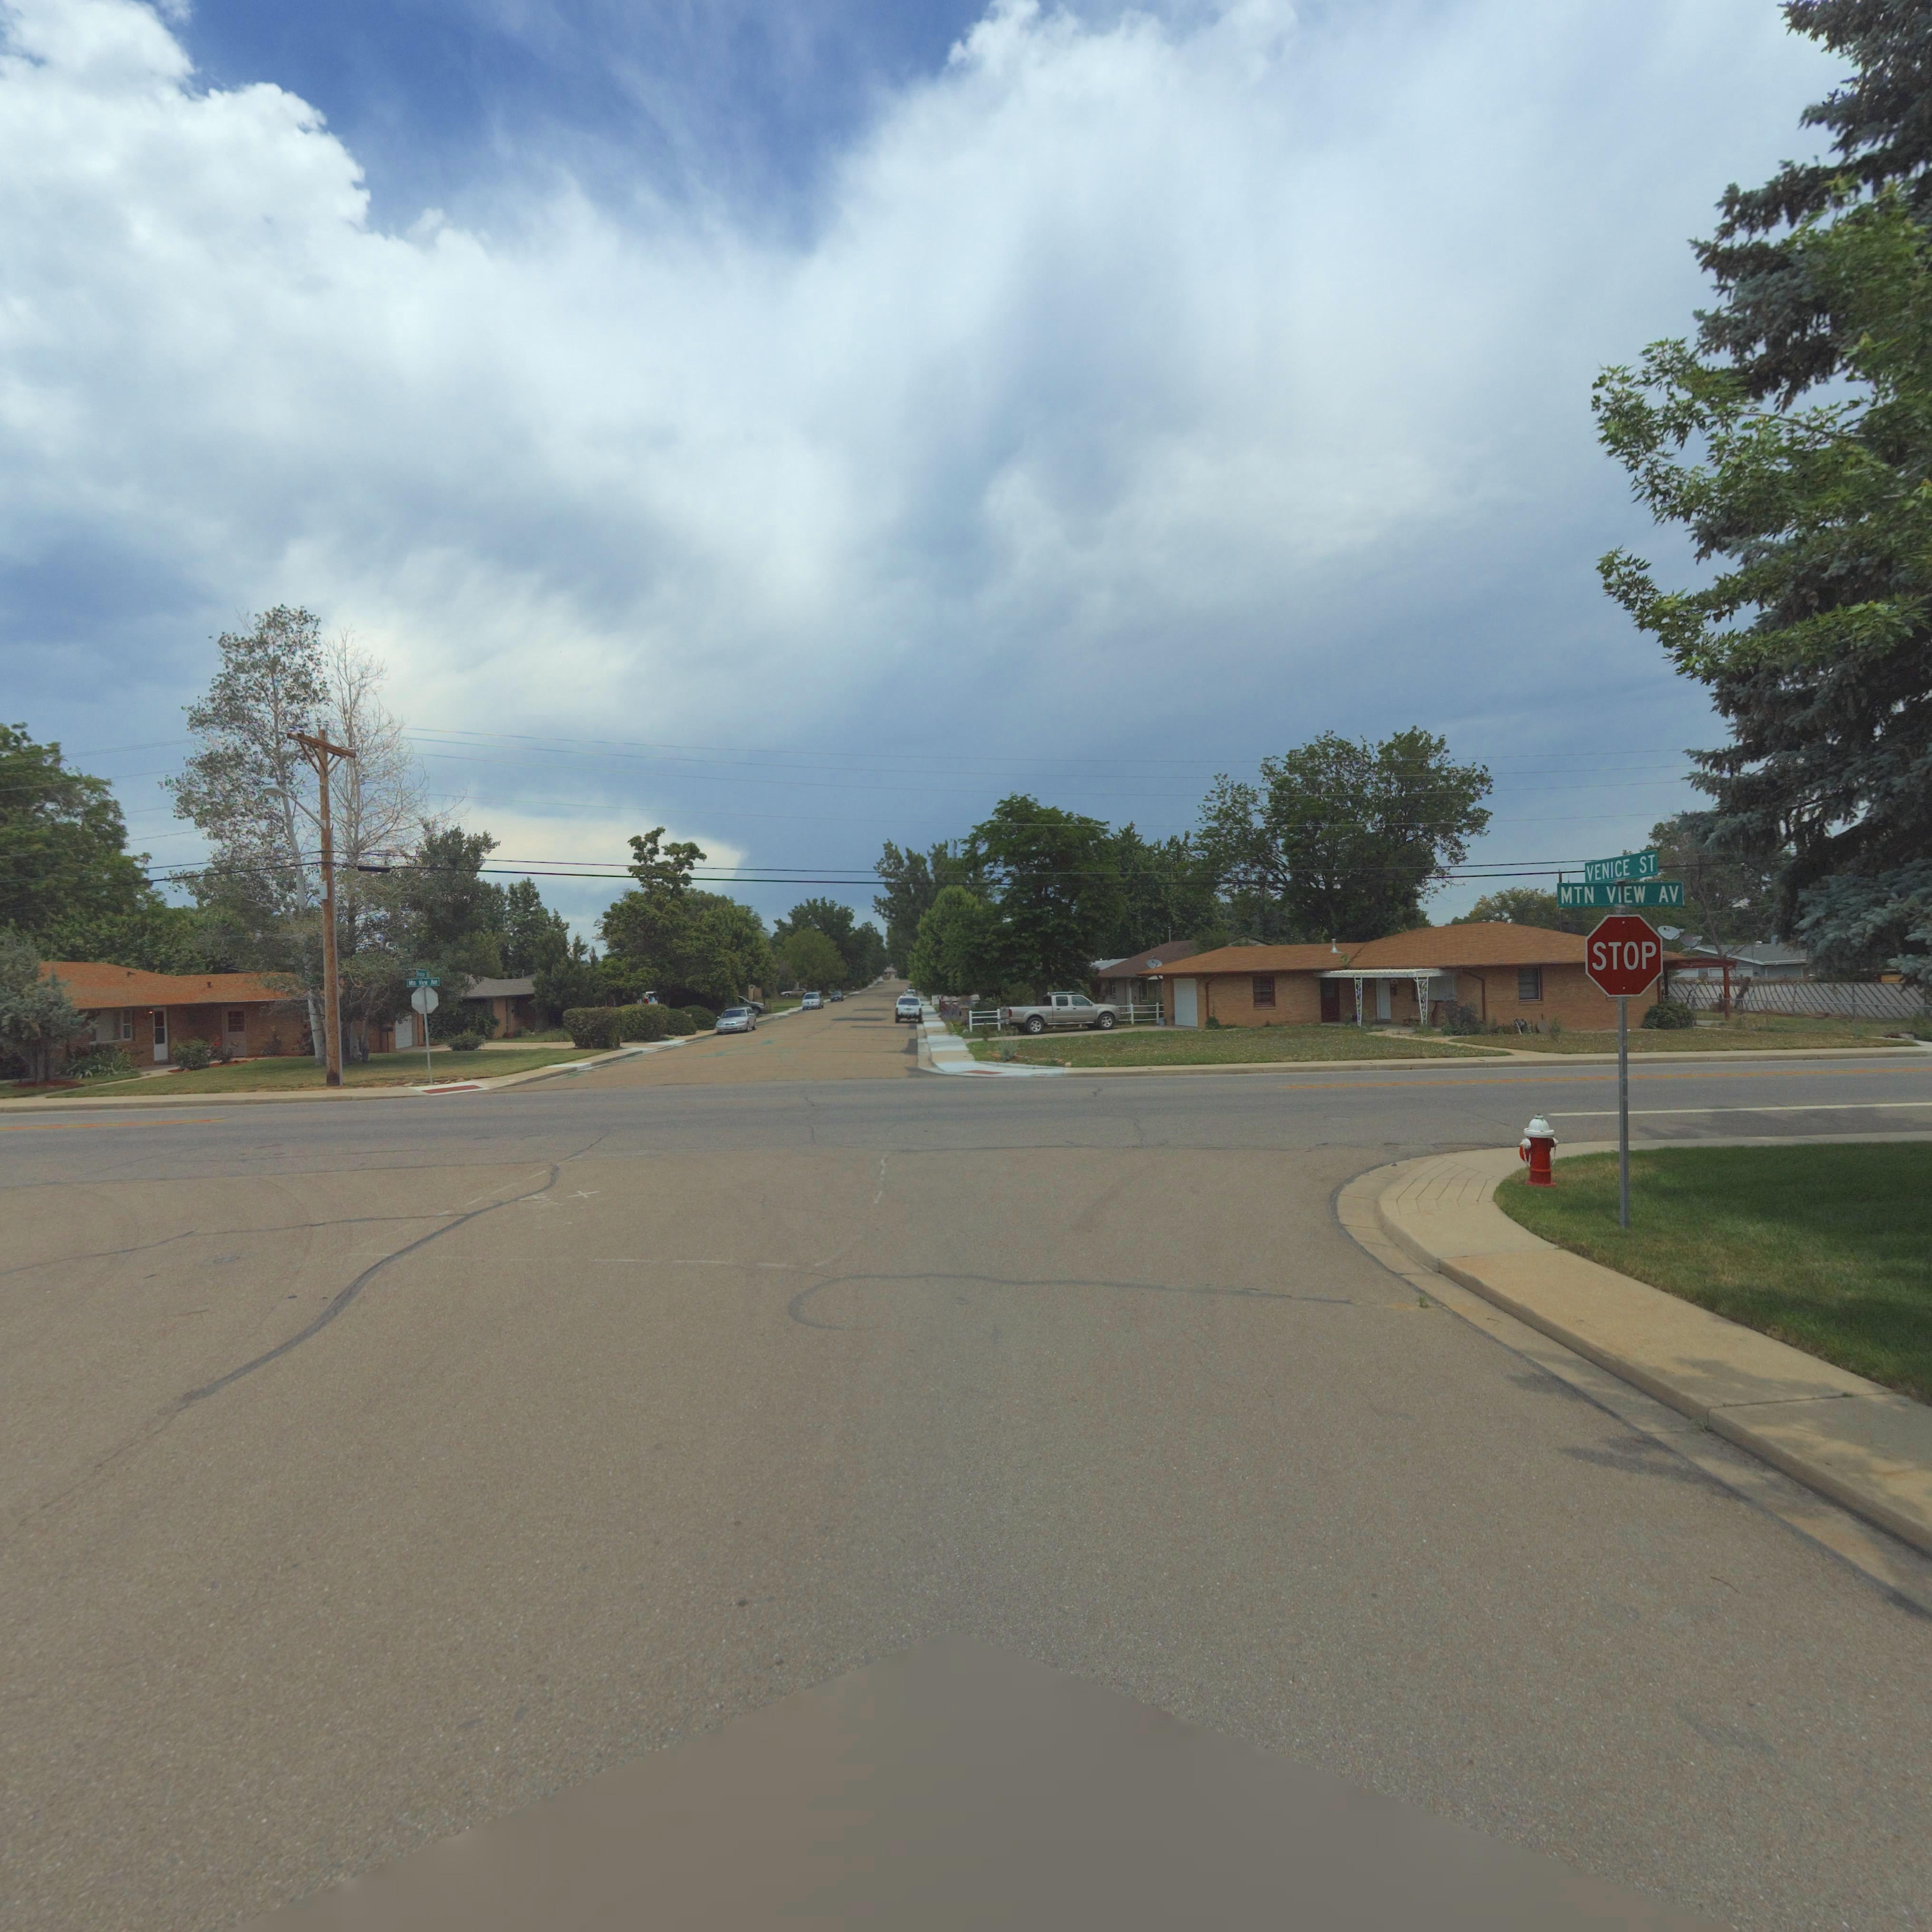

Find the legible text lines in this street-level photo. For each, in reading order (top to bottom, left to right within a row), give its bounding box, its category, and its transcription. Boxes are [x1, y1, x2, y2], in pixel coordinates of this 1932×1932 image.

[1584, 852, 1656, 882] StreetName: VENICE ST
[1560, 884, 1681, 905] StreetName: MTN VIEW AV
[416, 970, 430, 977] StreetName: V***** St
[408, 978, 438, 986] StreetName: M*n Vi*w A*e